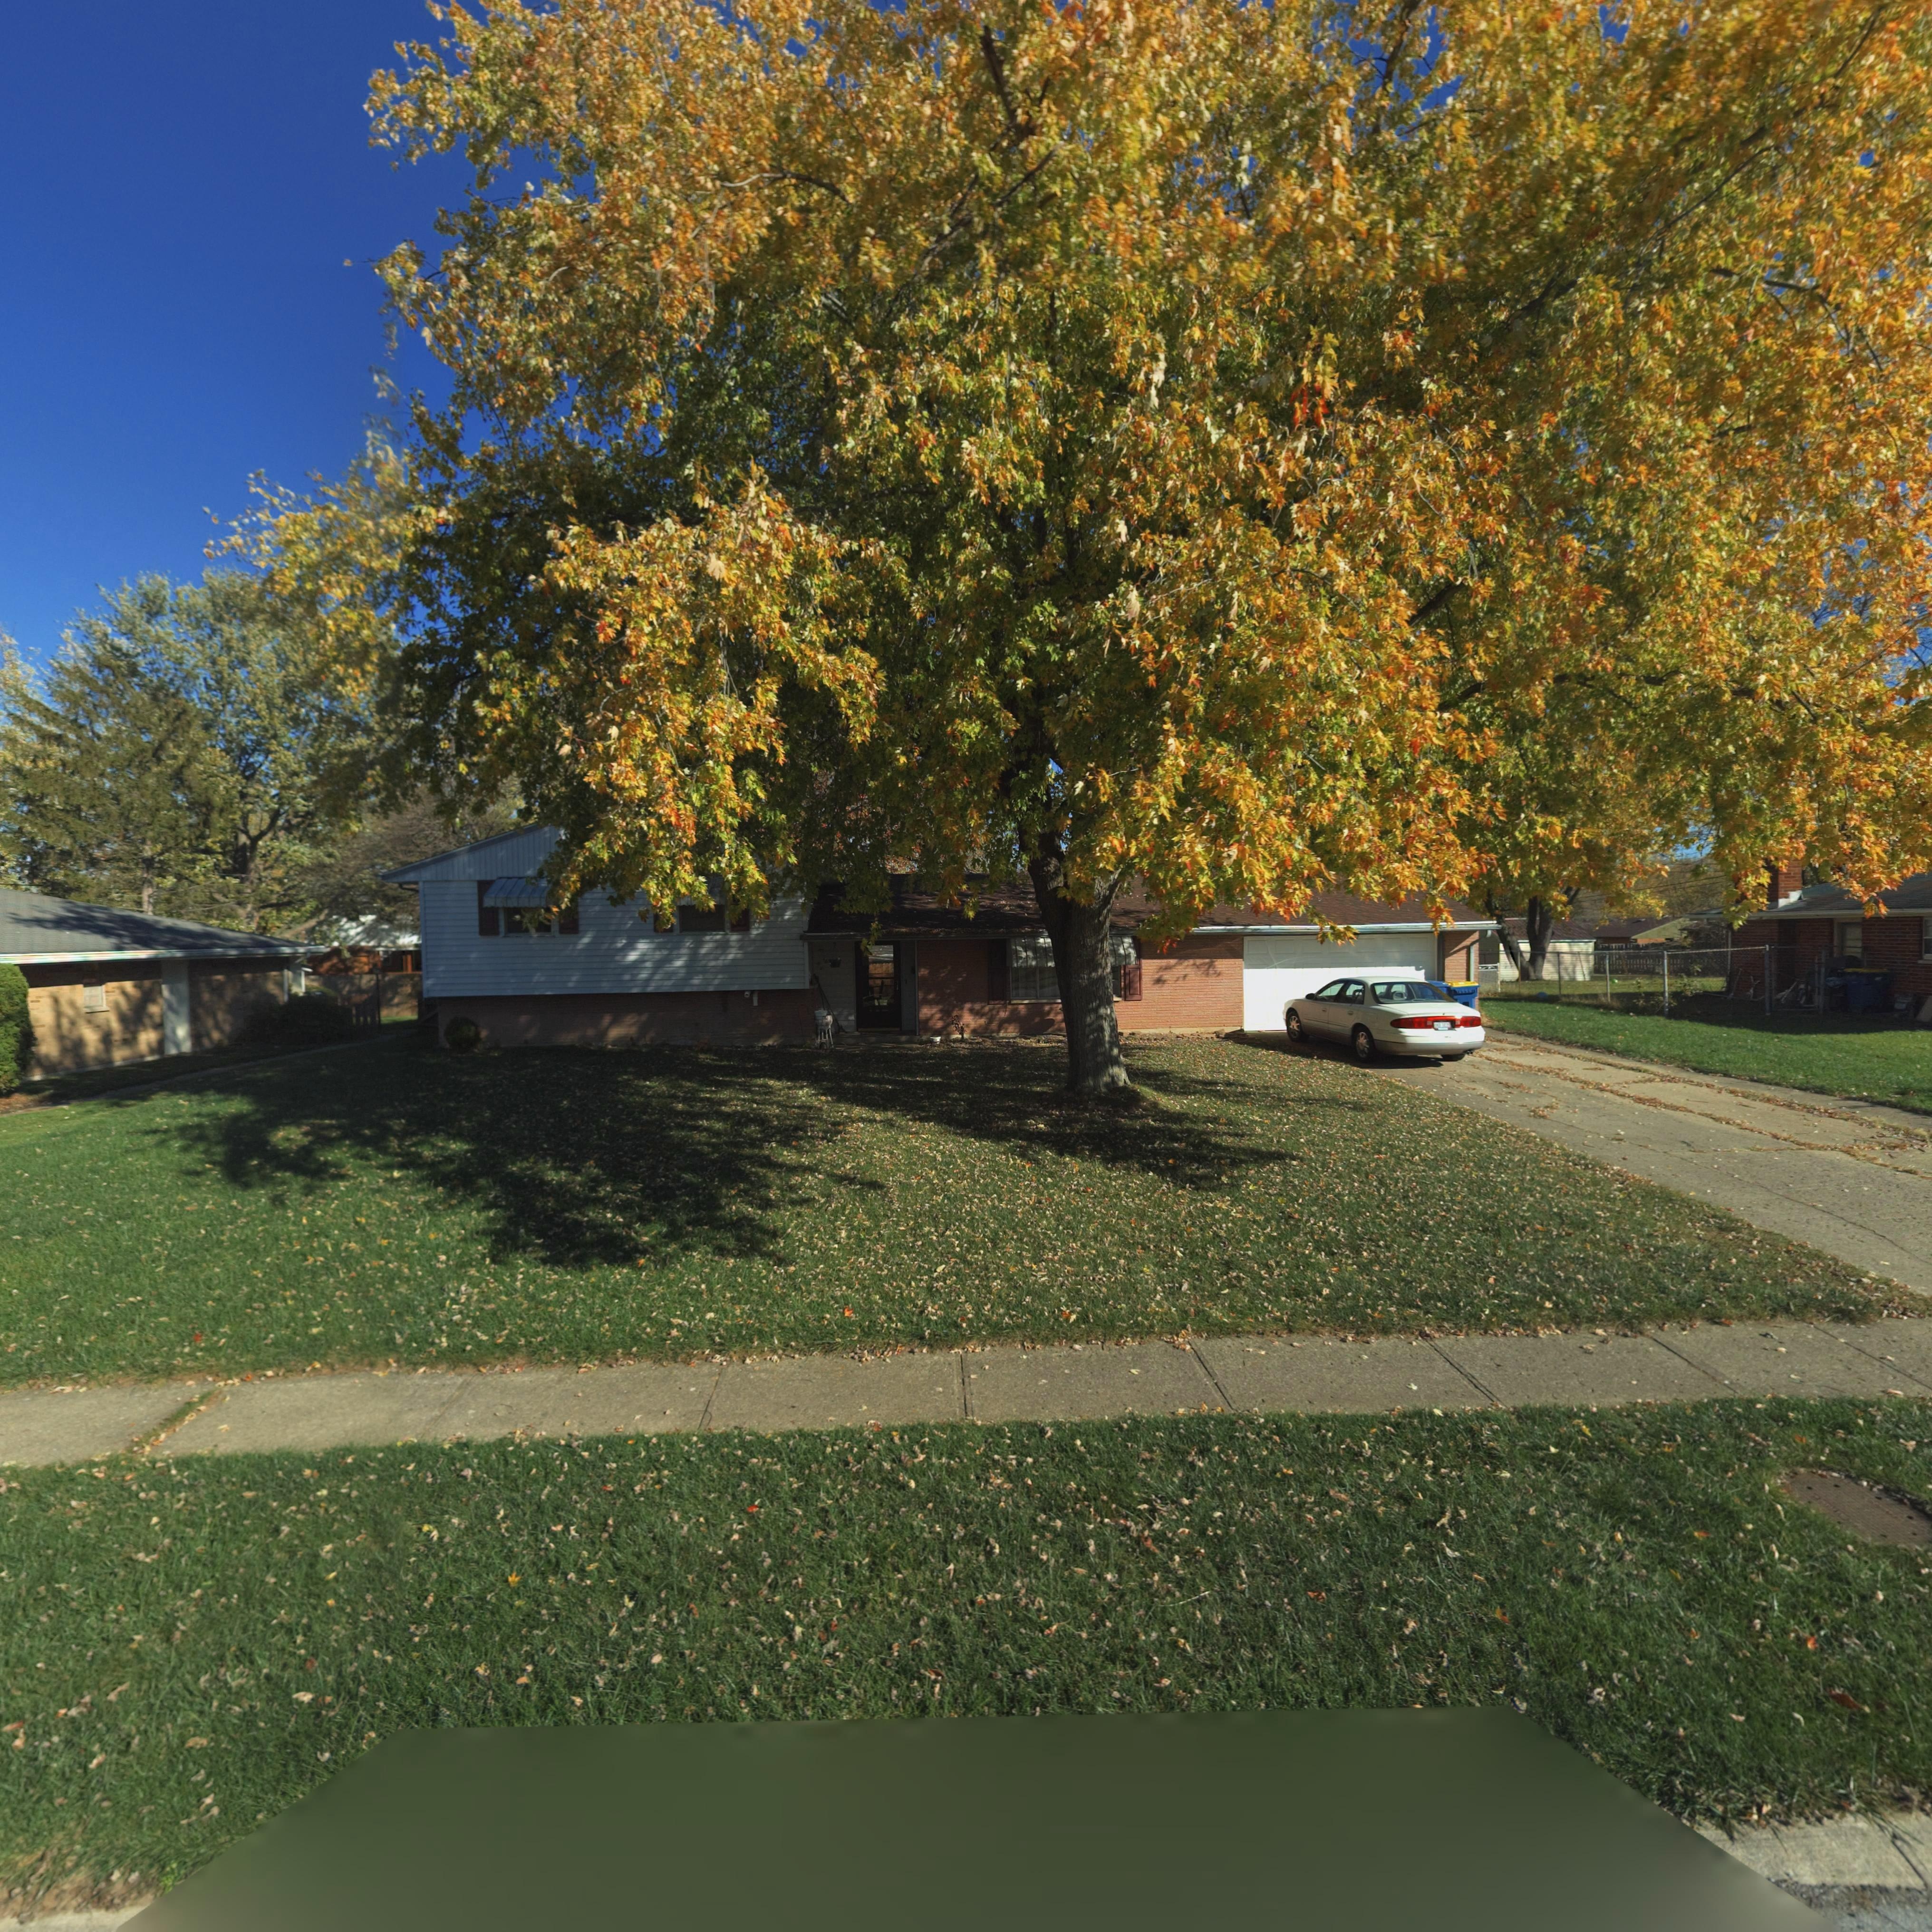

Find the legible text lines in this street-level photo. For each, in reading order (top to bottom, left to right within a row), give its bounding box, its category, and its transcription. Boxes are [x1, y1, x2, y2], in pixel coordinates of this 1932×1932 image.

[824, 959, 828, 963] StreetNumber: 6